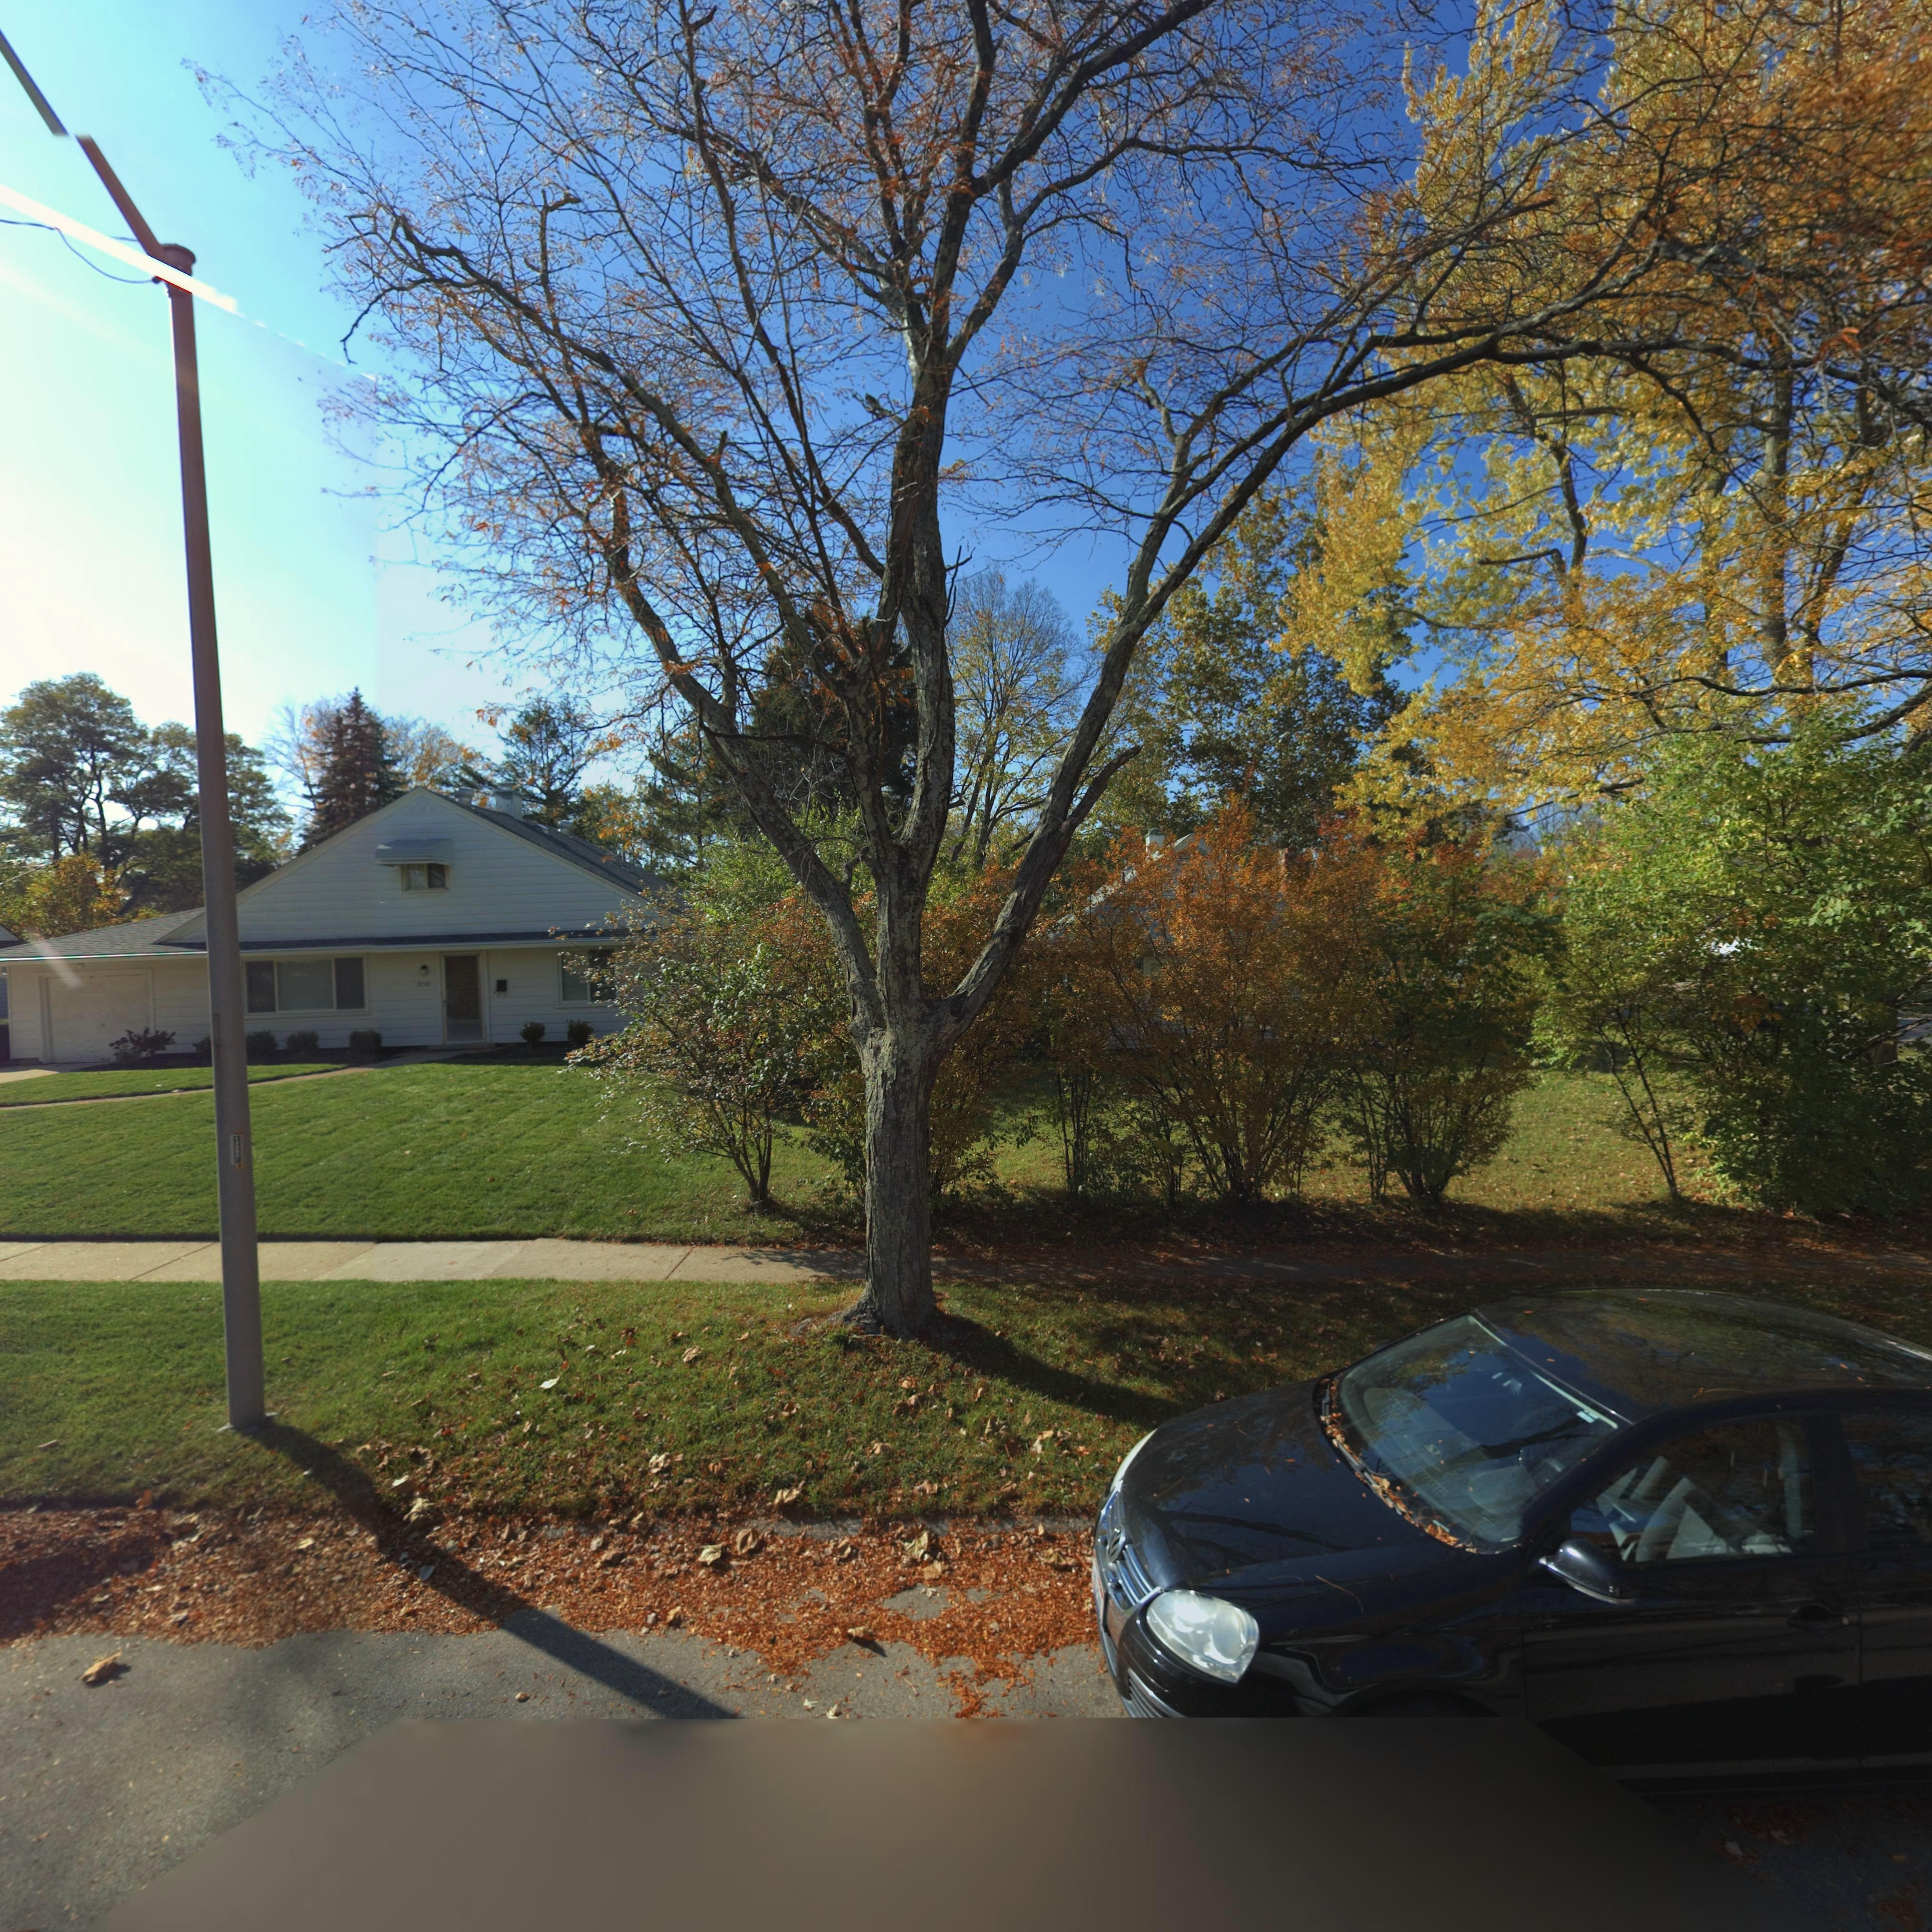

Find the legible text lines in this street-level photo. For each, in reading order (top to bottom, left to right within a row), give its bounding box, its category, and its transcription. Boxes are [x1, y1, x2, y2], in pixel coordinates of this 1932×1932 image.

[415, 981, 432, 987] StreetNumber: 3707
[234, 1136, 240, 1159] None: 1*5**